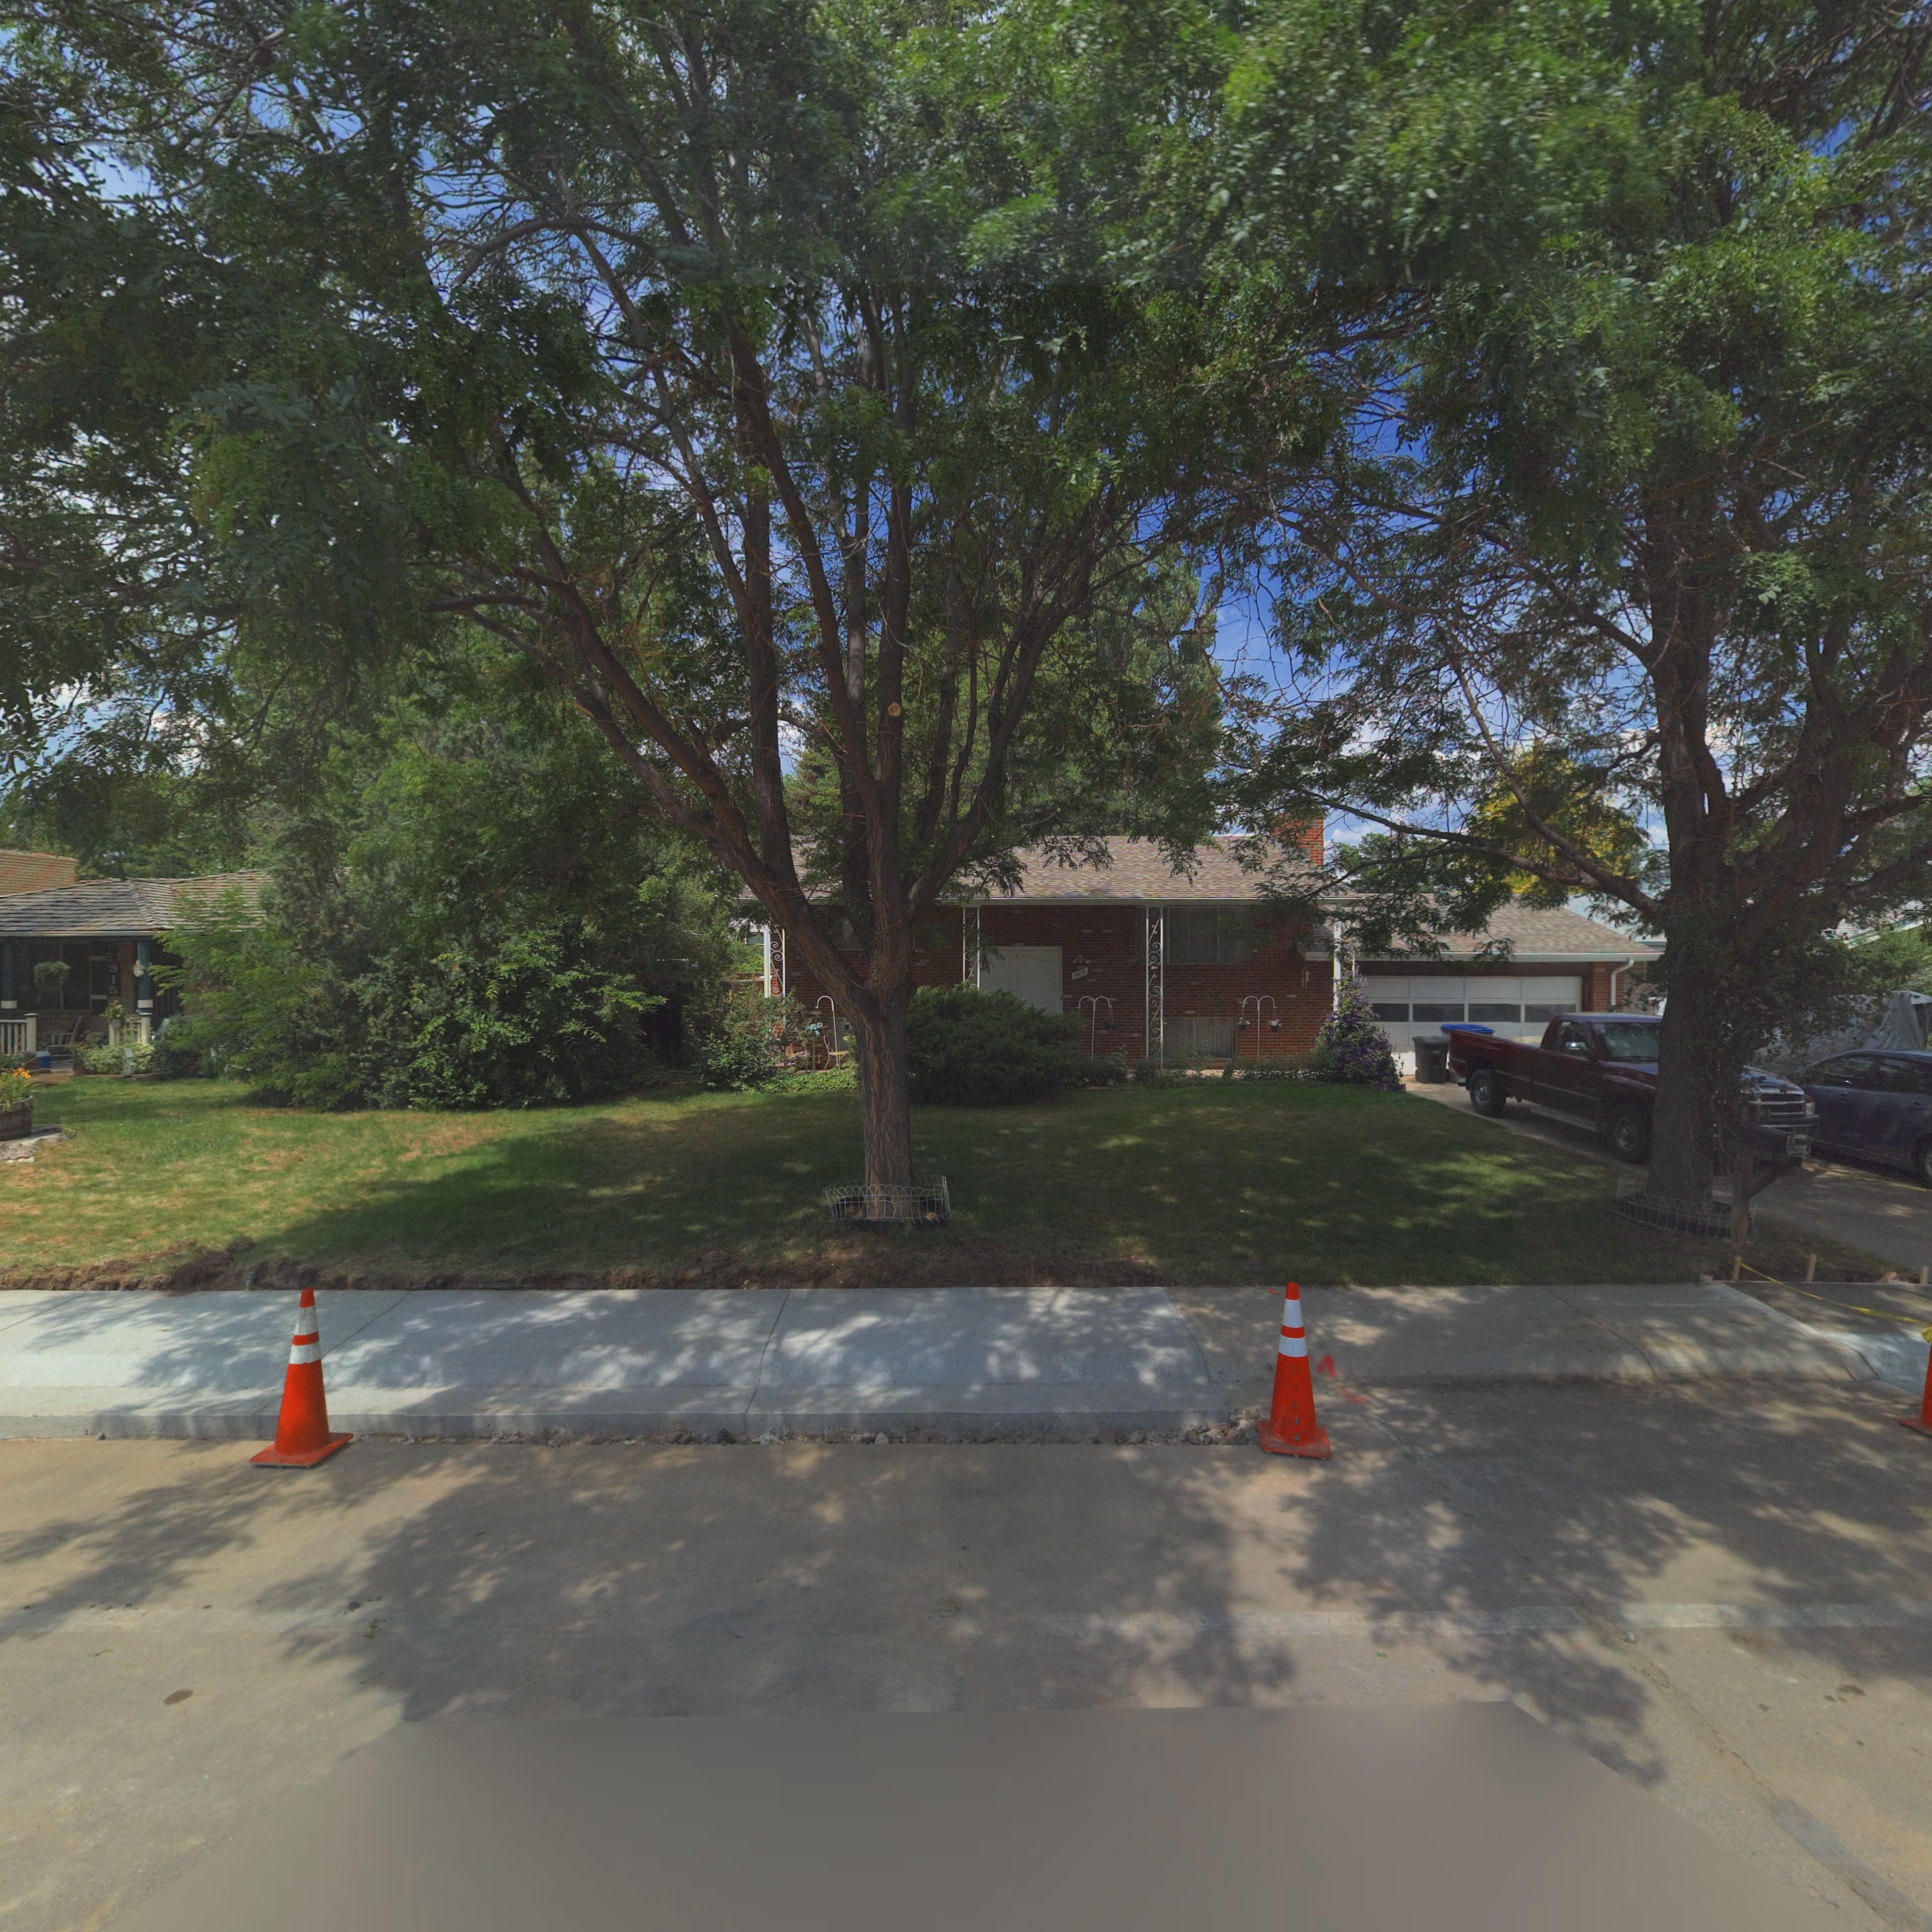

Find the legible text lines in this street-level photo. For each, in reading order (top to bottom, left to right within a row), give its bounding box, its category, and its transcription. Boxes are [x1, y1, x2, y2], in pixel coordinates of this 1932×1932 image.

[108, 964, 118, 995] StreetNumber: 915
[1074, 969, 1085, 978] StreetNumber: 909